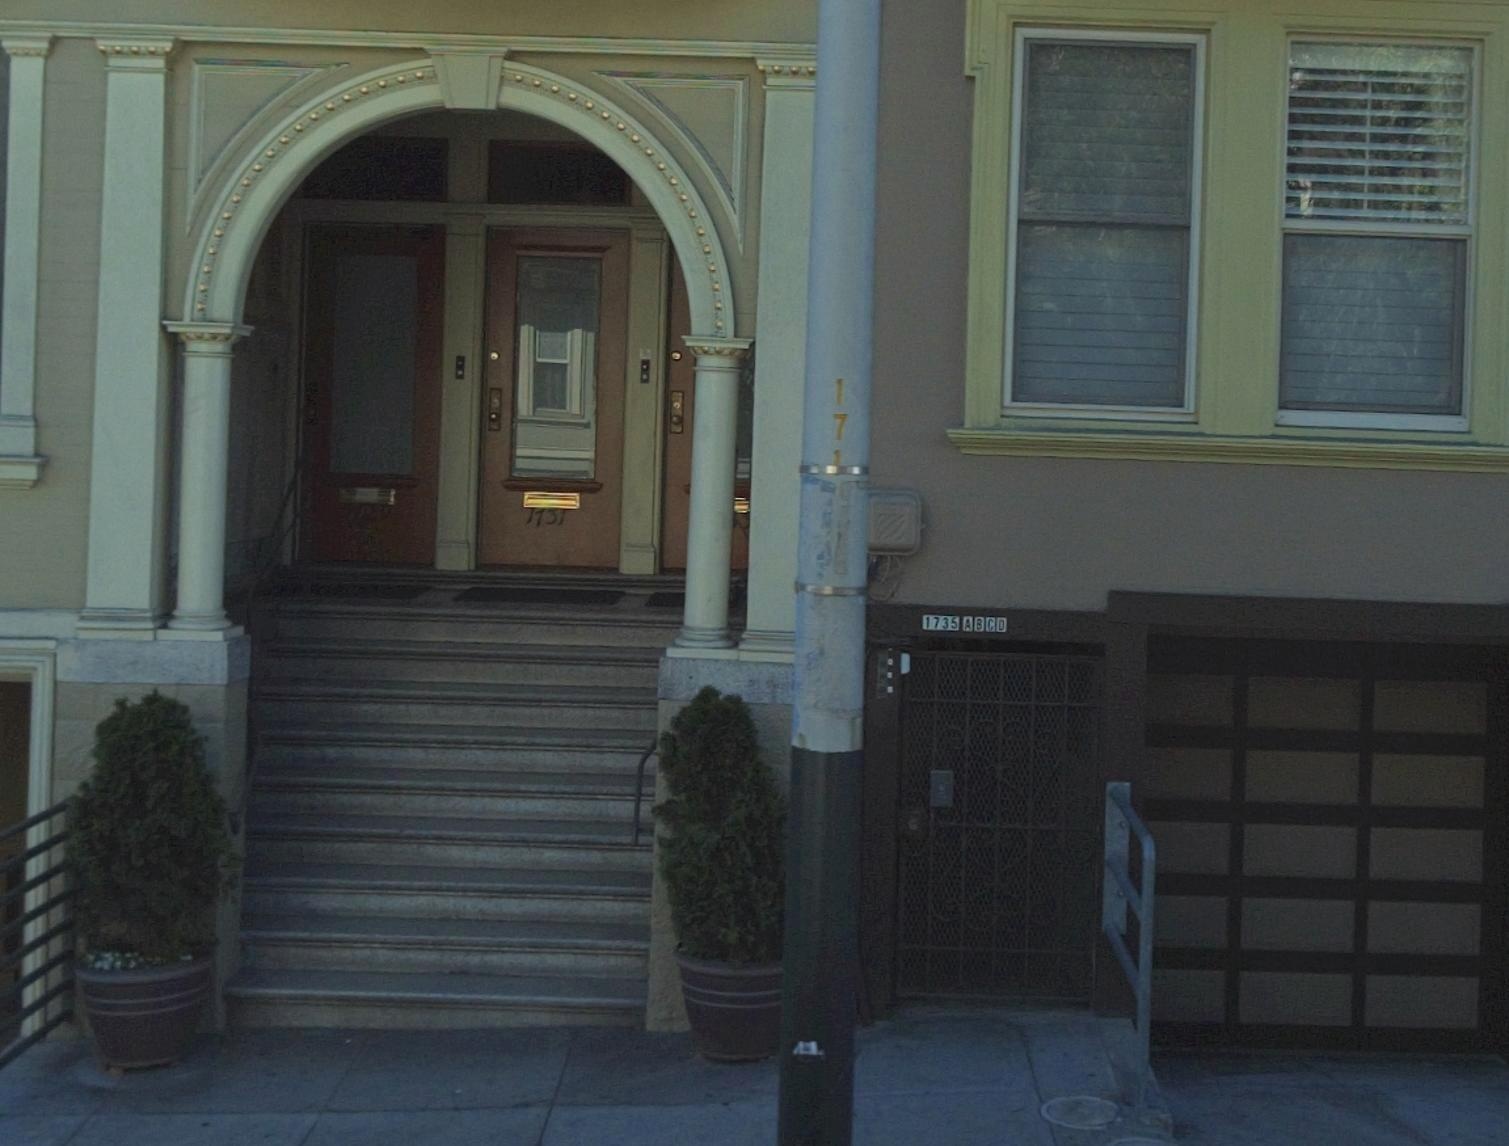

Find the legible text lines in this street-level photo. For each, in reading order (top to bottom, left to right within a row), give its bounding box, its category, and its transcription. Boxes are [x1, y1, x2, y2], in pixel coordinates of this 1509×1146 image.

[831, 375, 850, 444] None: 17
[523, 508, 567, 528] StreetNumber: 1731
[924, 615, 1007, 632] StreetNumber: 1735ABCD